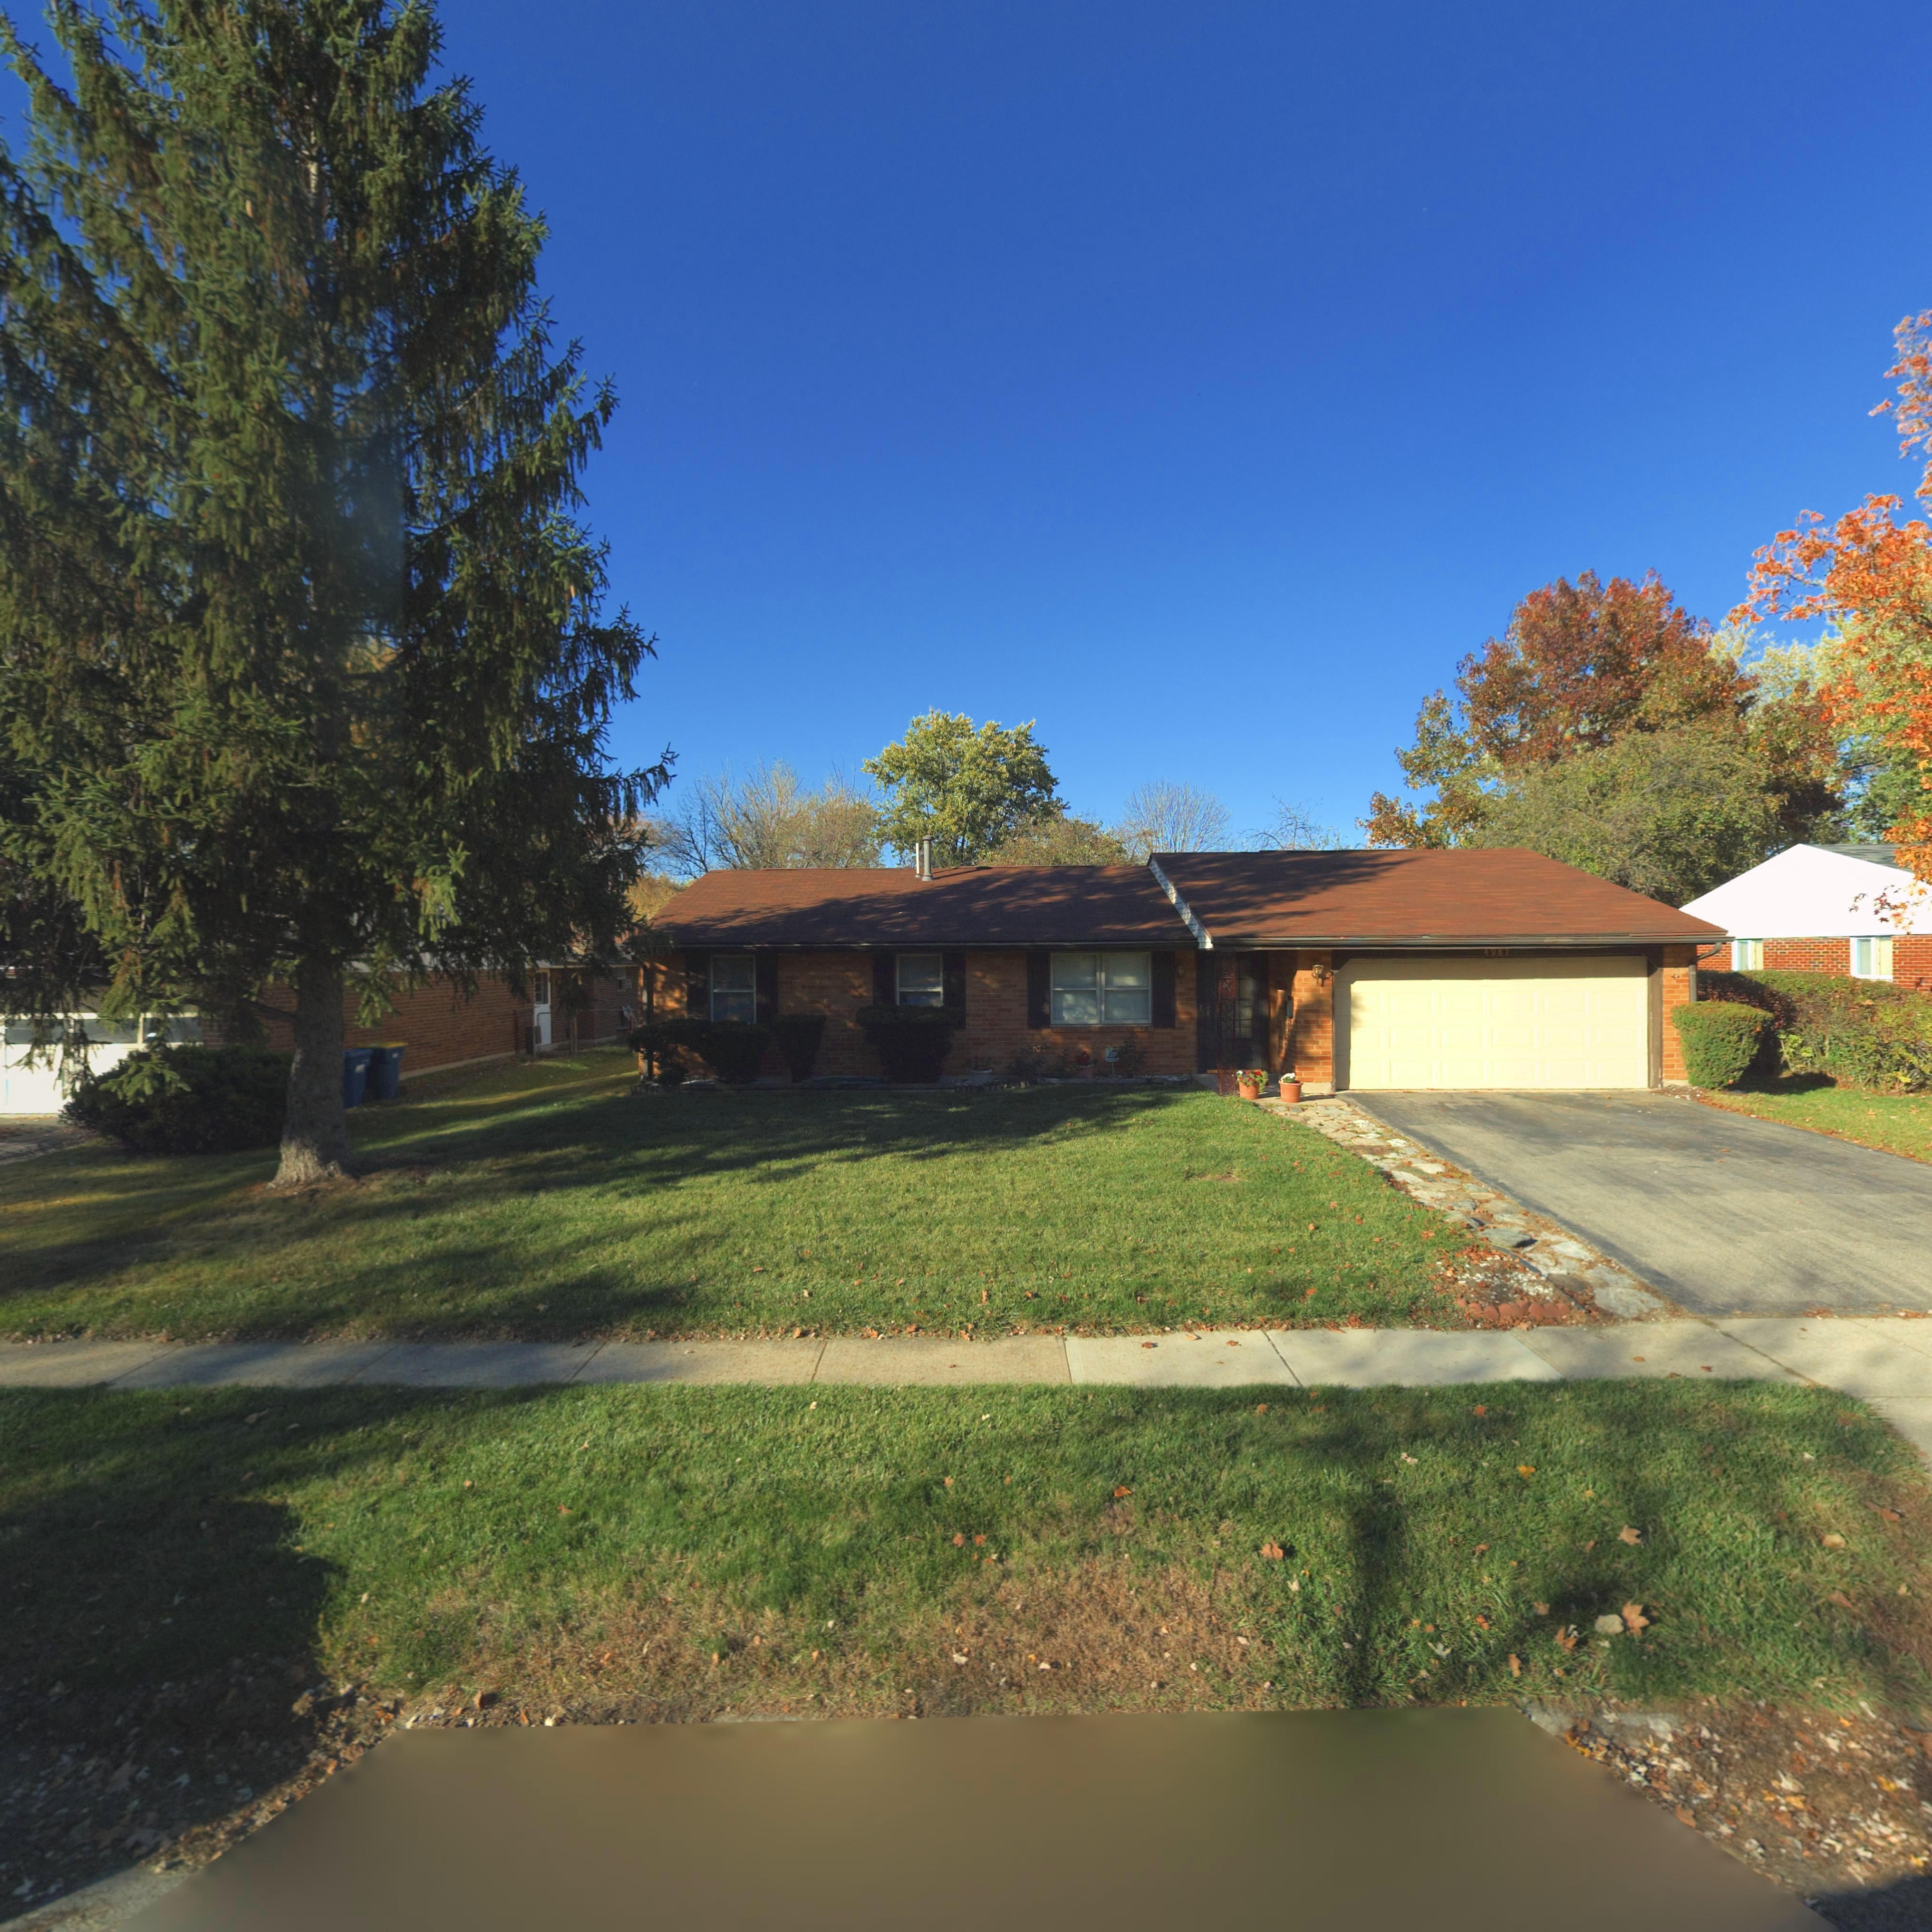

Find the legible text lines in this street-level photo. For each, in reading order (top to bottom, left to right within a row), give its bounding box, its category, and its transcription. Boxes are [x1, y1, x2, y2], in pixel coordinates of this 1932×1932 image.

[1483, 948, 1509, 956] StreetNumber: 4981